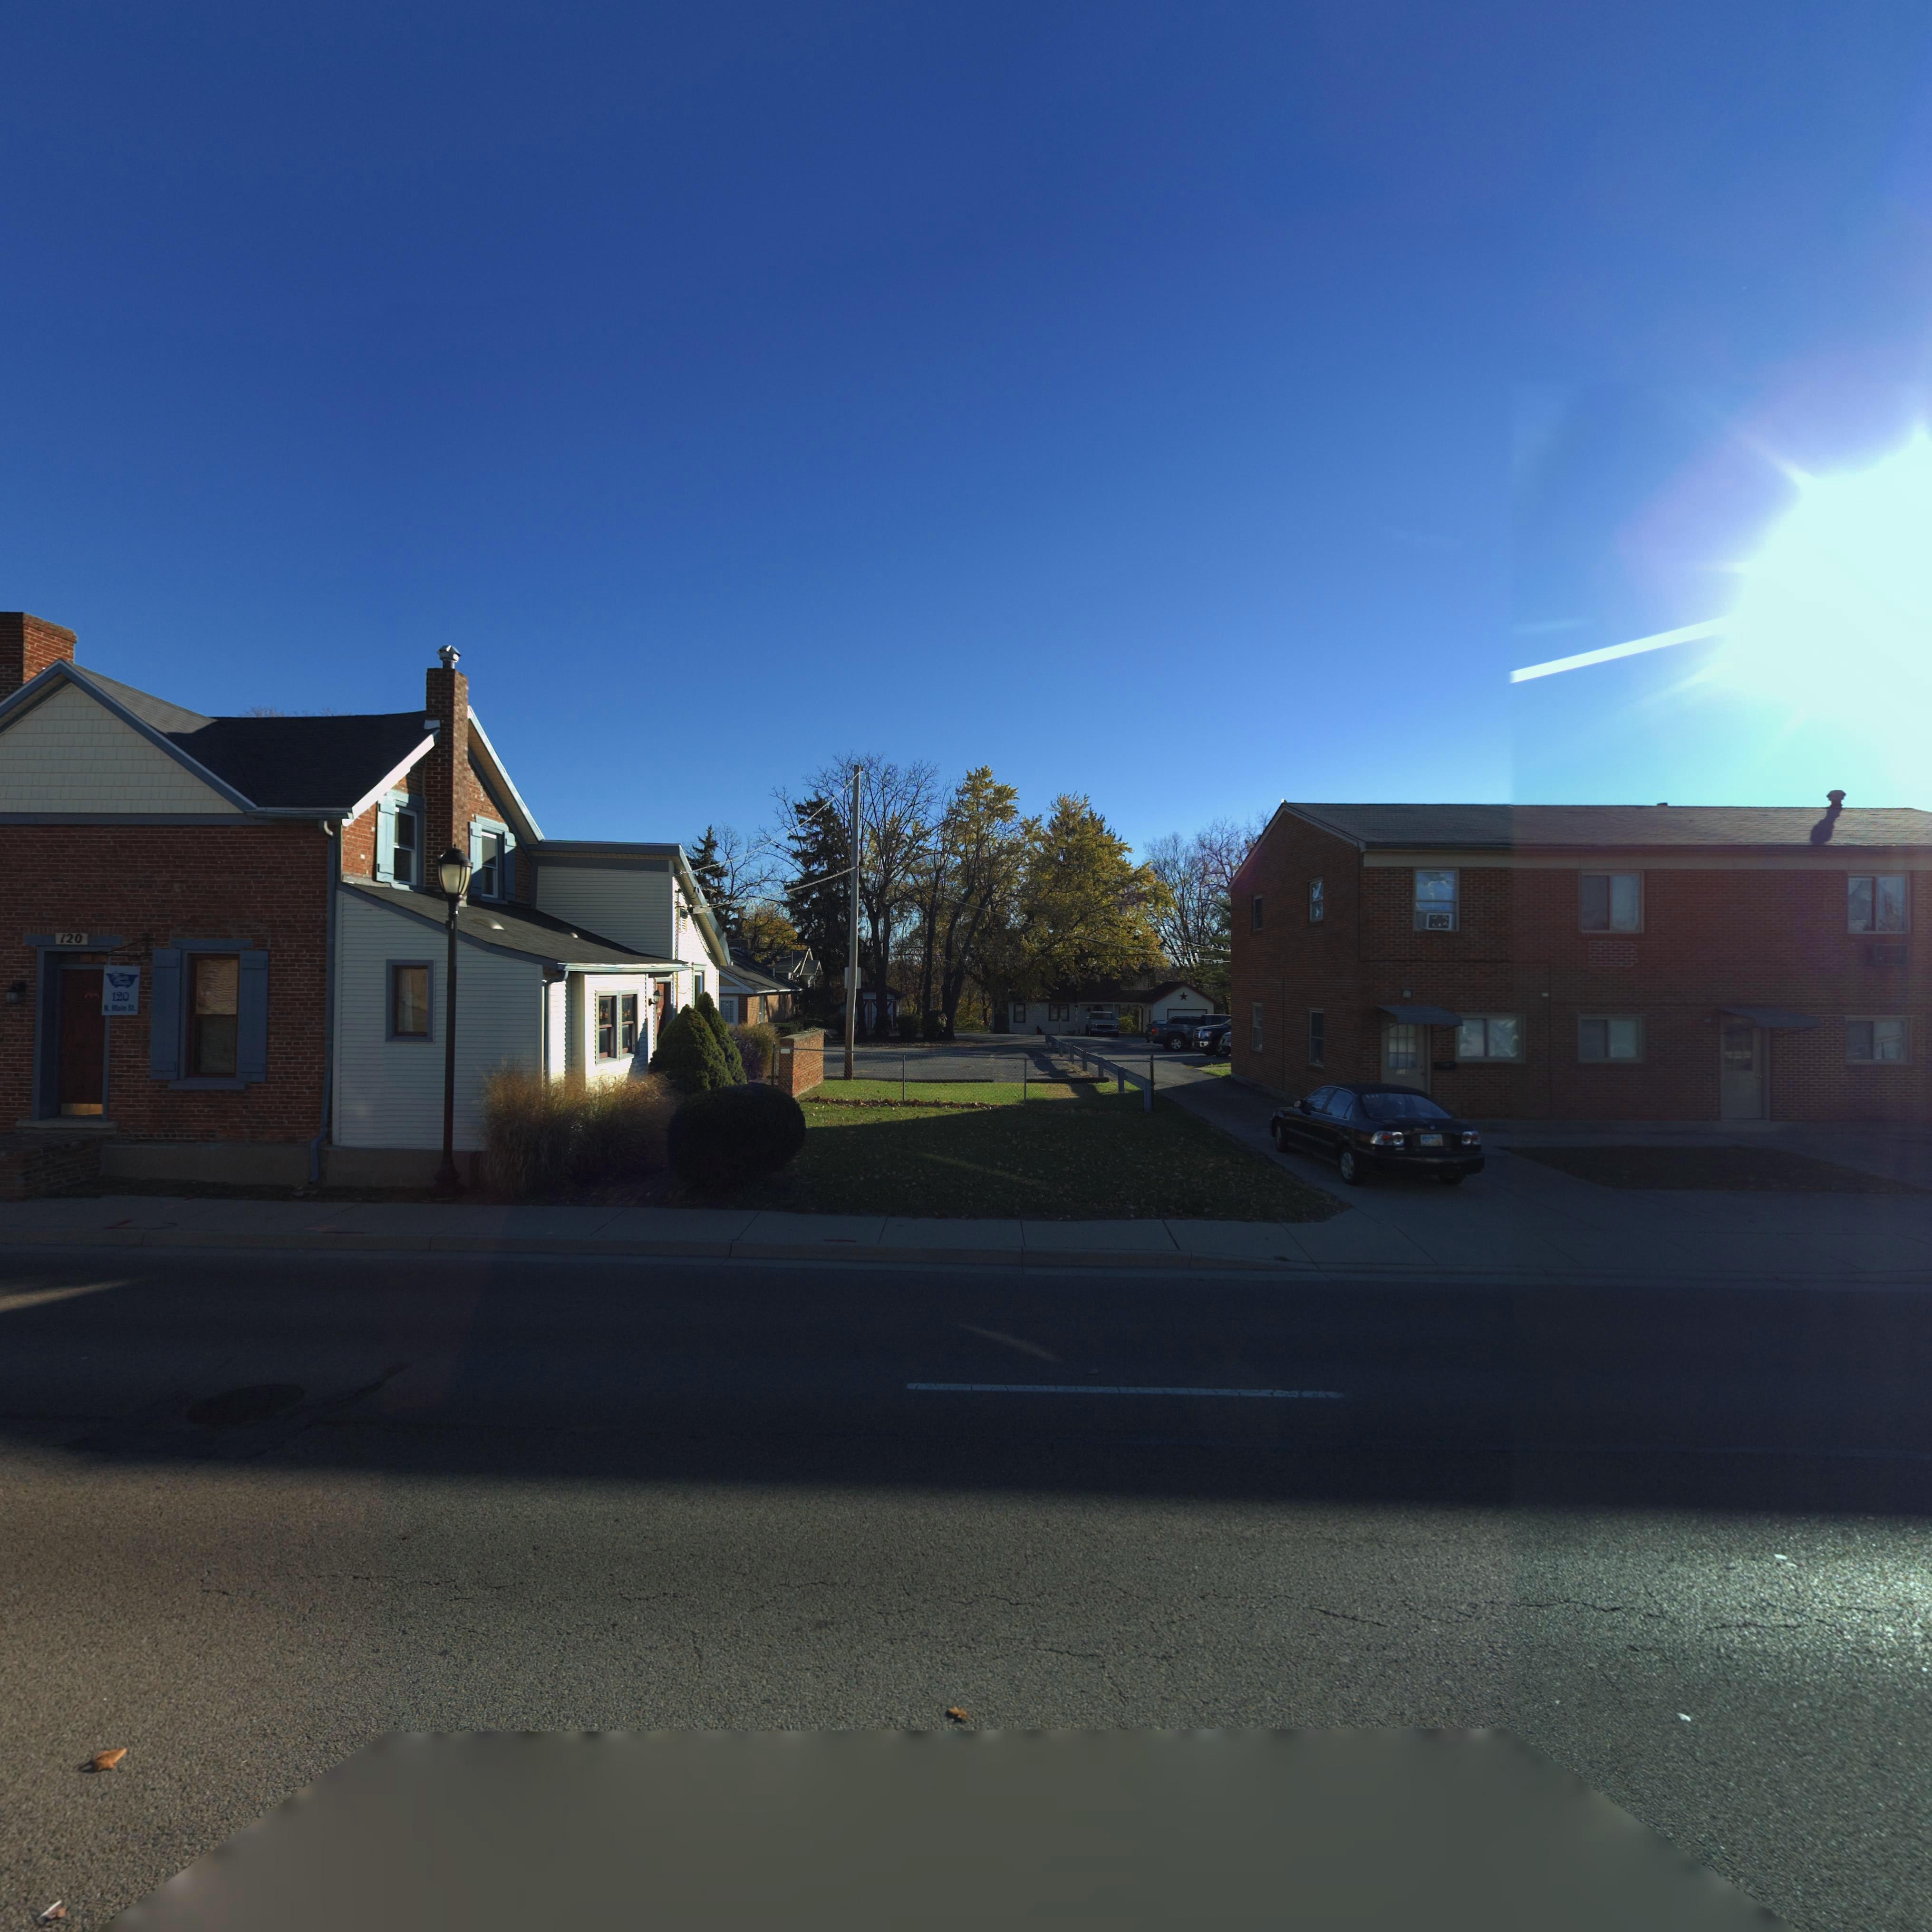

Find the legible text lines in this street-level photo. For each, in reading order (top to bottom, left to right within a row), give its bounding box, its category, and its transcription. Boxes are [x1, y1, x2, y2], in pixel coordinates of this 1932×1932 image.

[58, 933, 83, 944] StreetNumber: 120
[111, 991, 130, 1002] StreetNumber: 120
[1396, 1069, 1409, 1074] StreetNumber: 11*